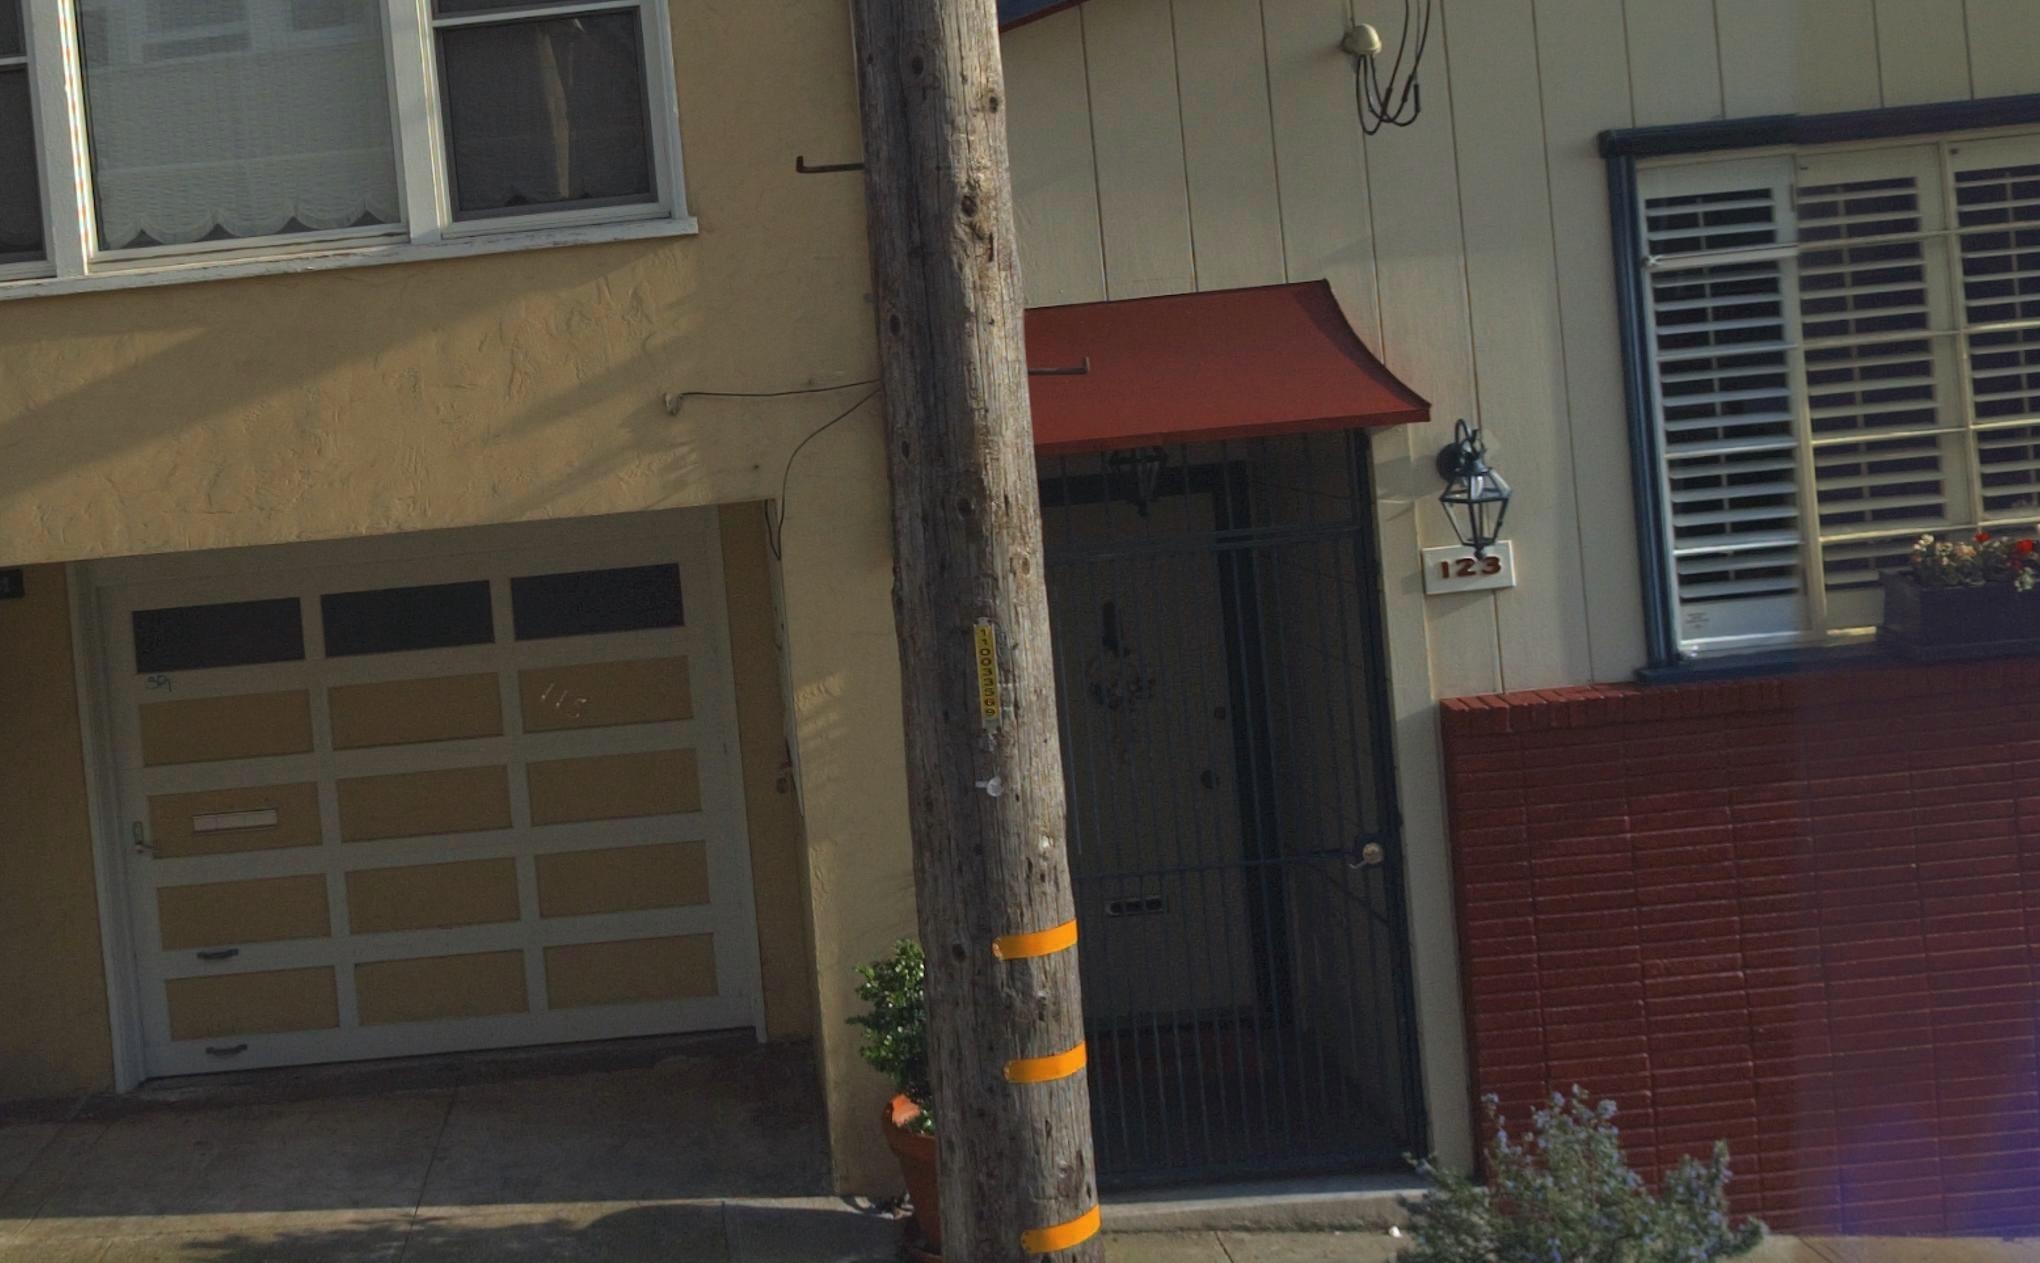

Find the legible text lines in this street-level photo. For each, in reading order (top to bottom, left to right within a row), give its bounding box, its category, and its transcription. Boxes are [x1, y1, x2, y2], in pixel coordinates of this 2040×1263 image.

[1438, 550, 1504, 585] StreetNumber: 123
[974, 625, 999, 719] None: 110033569
[533, 677, 597, 729] StreetNumber: 115